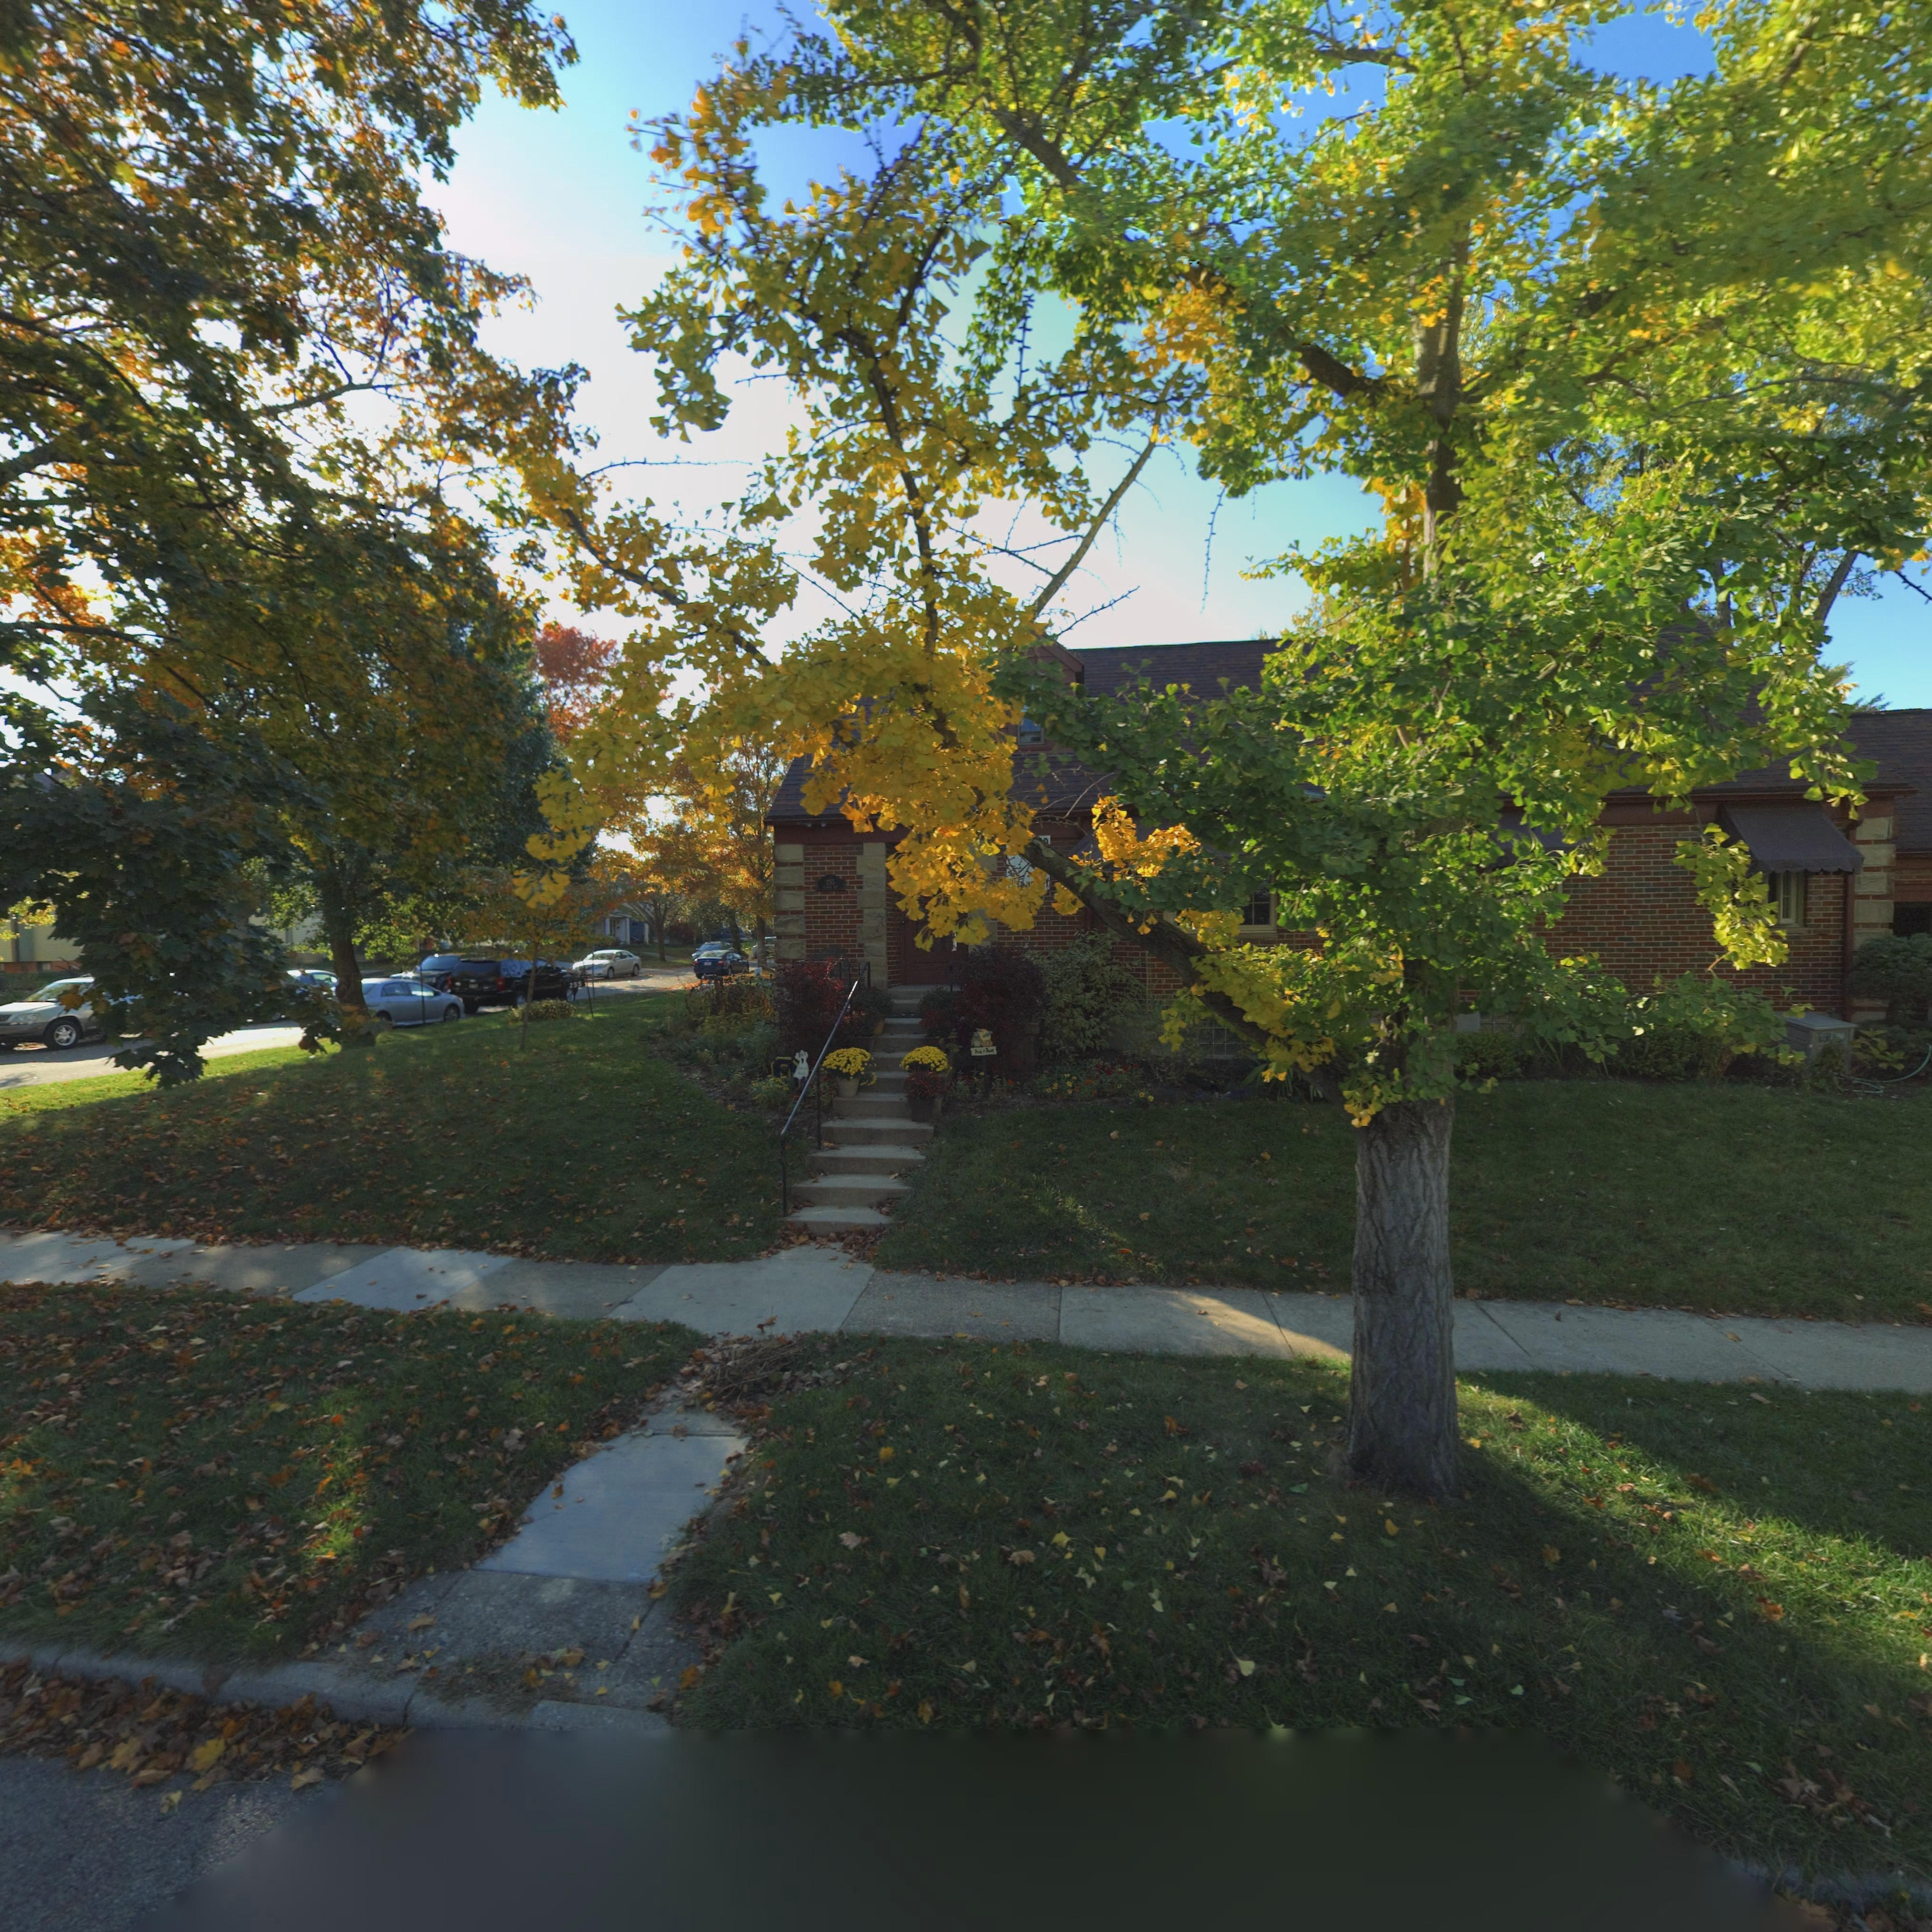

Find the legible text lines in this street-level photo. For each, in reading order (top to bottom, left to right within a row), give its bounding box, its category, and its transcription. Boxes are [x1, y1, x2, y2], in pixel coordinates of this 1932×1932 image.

[825, 879, 835, 886] StreetNumber: 255